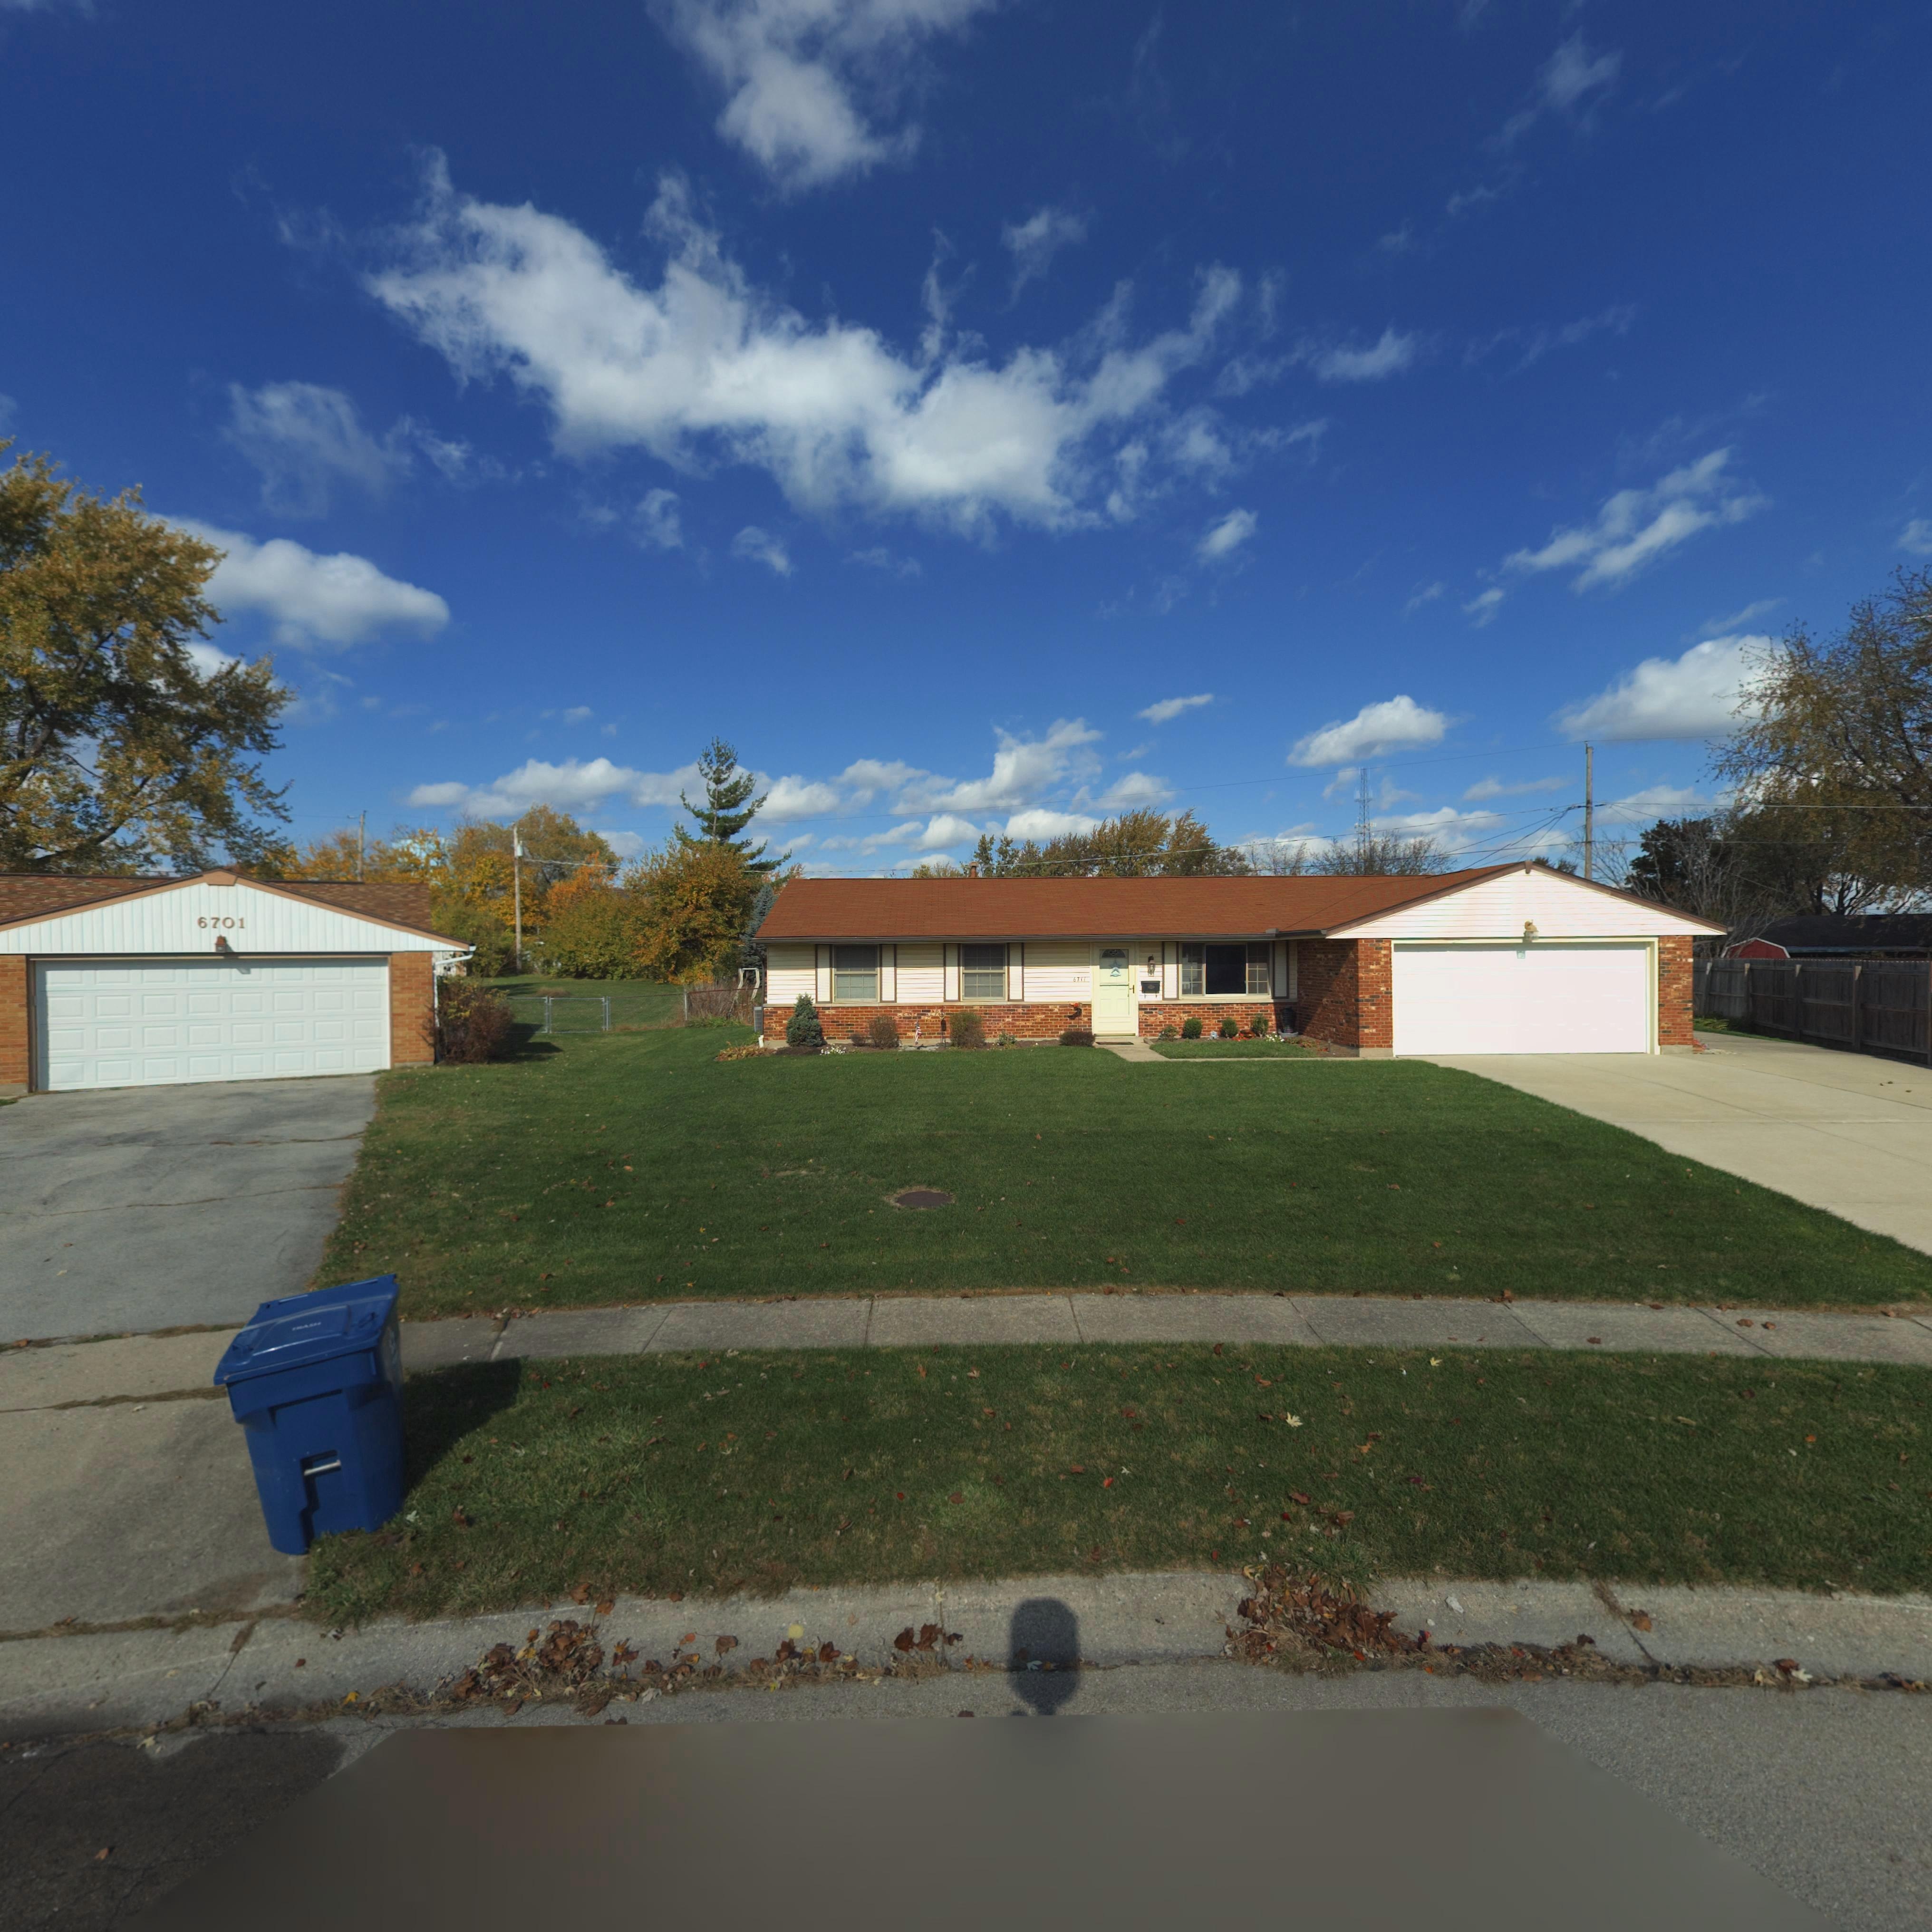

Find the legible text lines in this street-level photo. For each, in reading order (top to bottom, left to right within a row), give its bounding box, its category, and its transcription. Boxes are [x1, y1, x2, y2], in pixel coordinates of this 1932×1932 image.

[197, 916, 245, 929] StreetNumber: 6701
[1072, 976, 1086, 983] StreetNumber: 6711